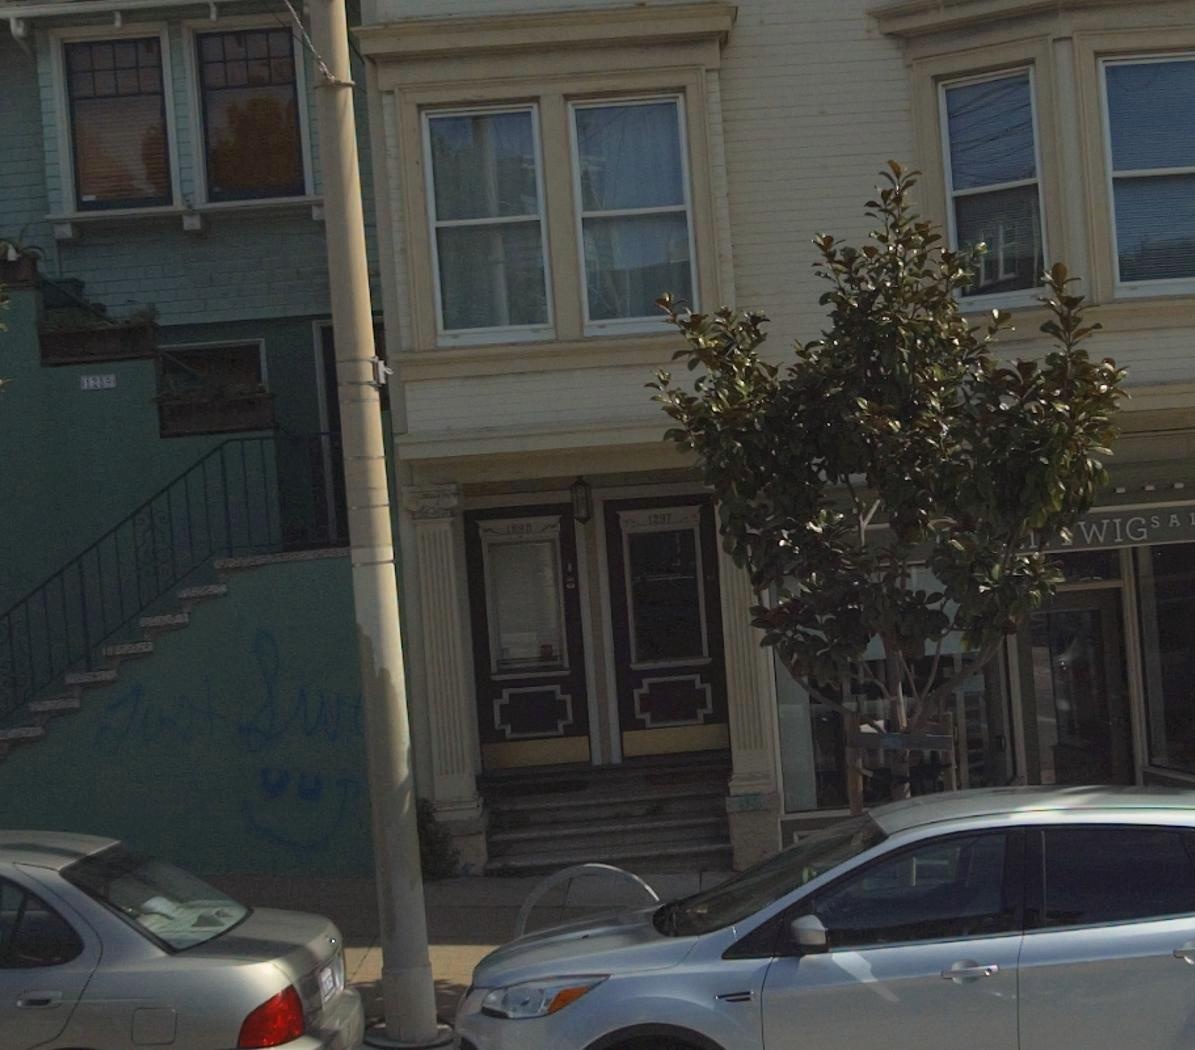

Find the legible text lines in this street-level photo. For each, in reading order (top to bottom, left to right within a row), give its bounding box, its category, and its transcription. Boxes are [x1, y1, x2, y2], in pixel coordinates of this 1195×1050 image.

[84, 375, 112, 390] StreetNumber: 12*9
[506, 521, 532, 536] StreetNumber: 1295
[646, 512, 672, 525] StreetNumber: 1297
[1076, 515, 1149, 545] BusinessName: WIG
[1149, 513, 1183, 529] BusinessName: SA